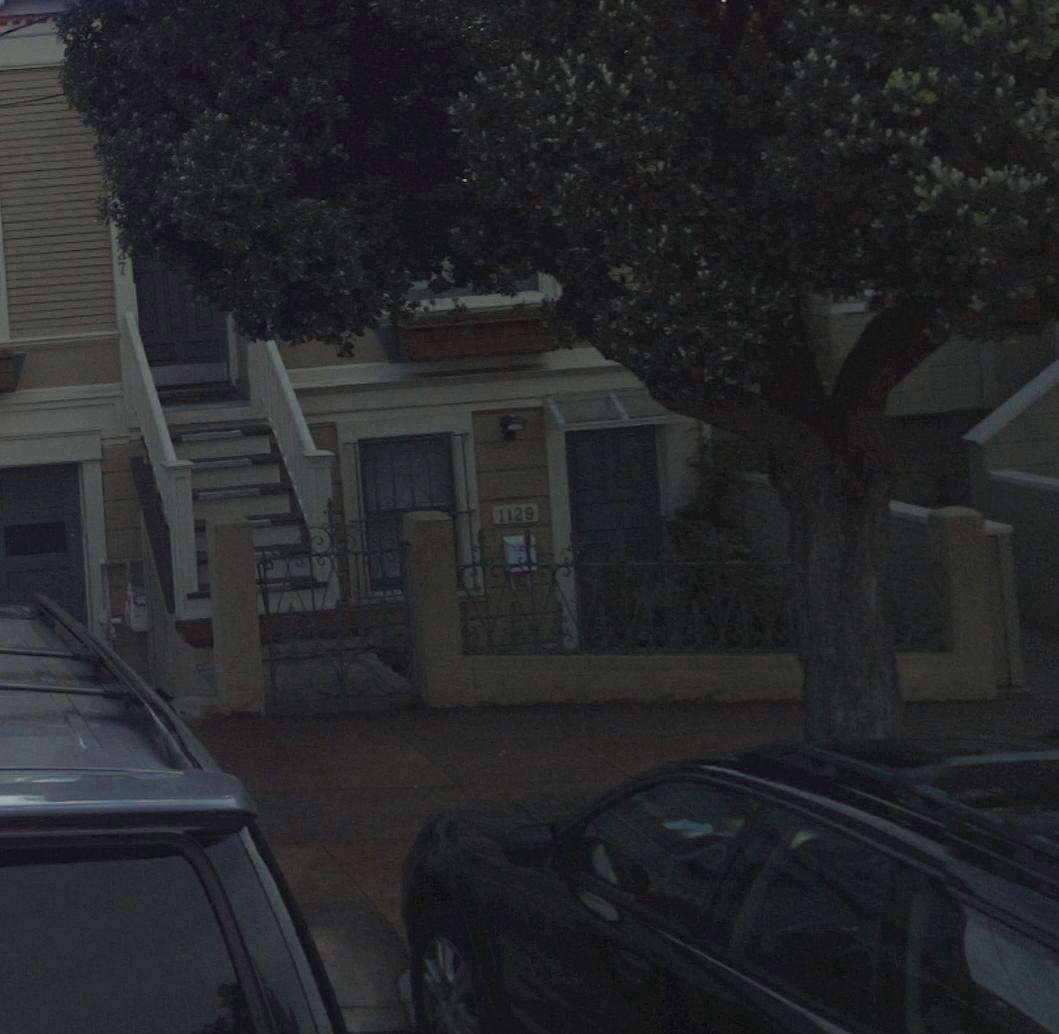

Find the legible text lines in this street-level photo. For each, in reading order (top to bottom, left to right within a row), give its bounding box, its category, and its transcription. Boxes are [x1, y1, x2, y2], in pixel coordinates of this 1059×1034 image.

[497, 505, 535, 523] StreetNumber: 1129